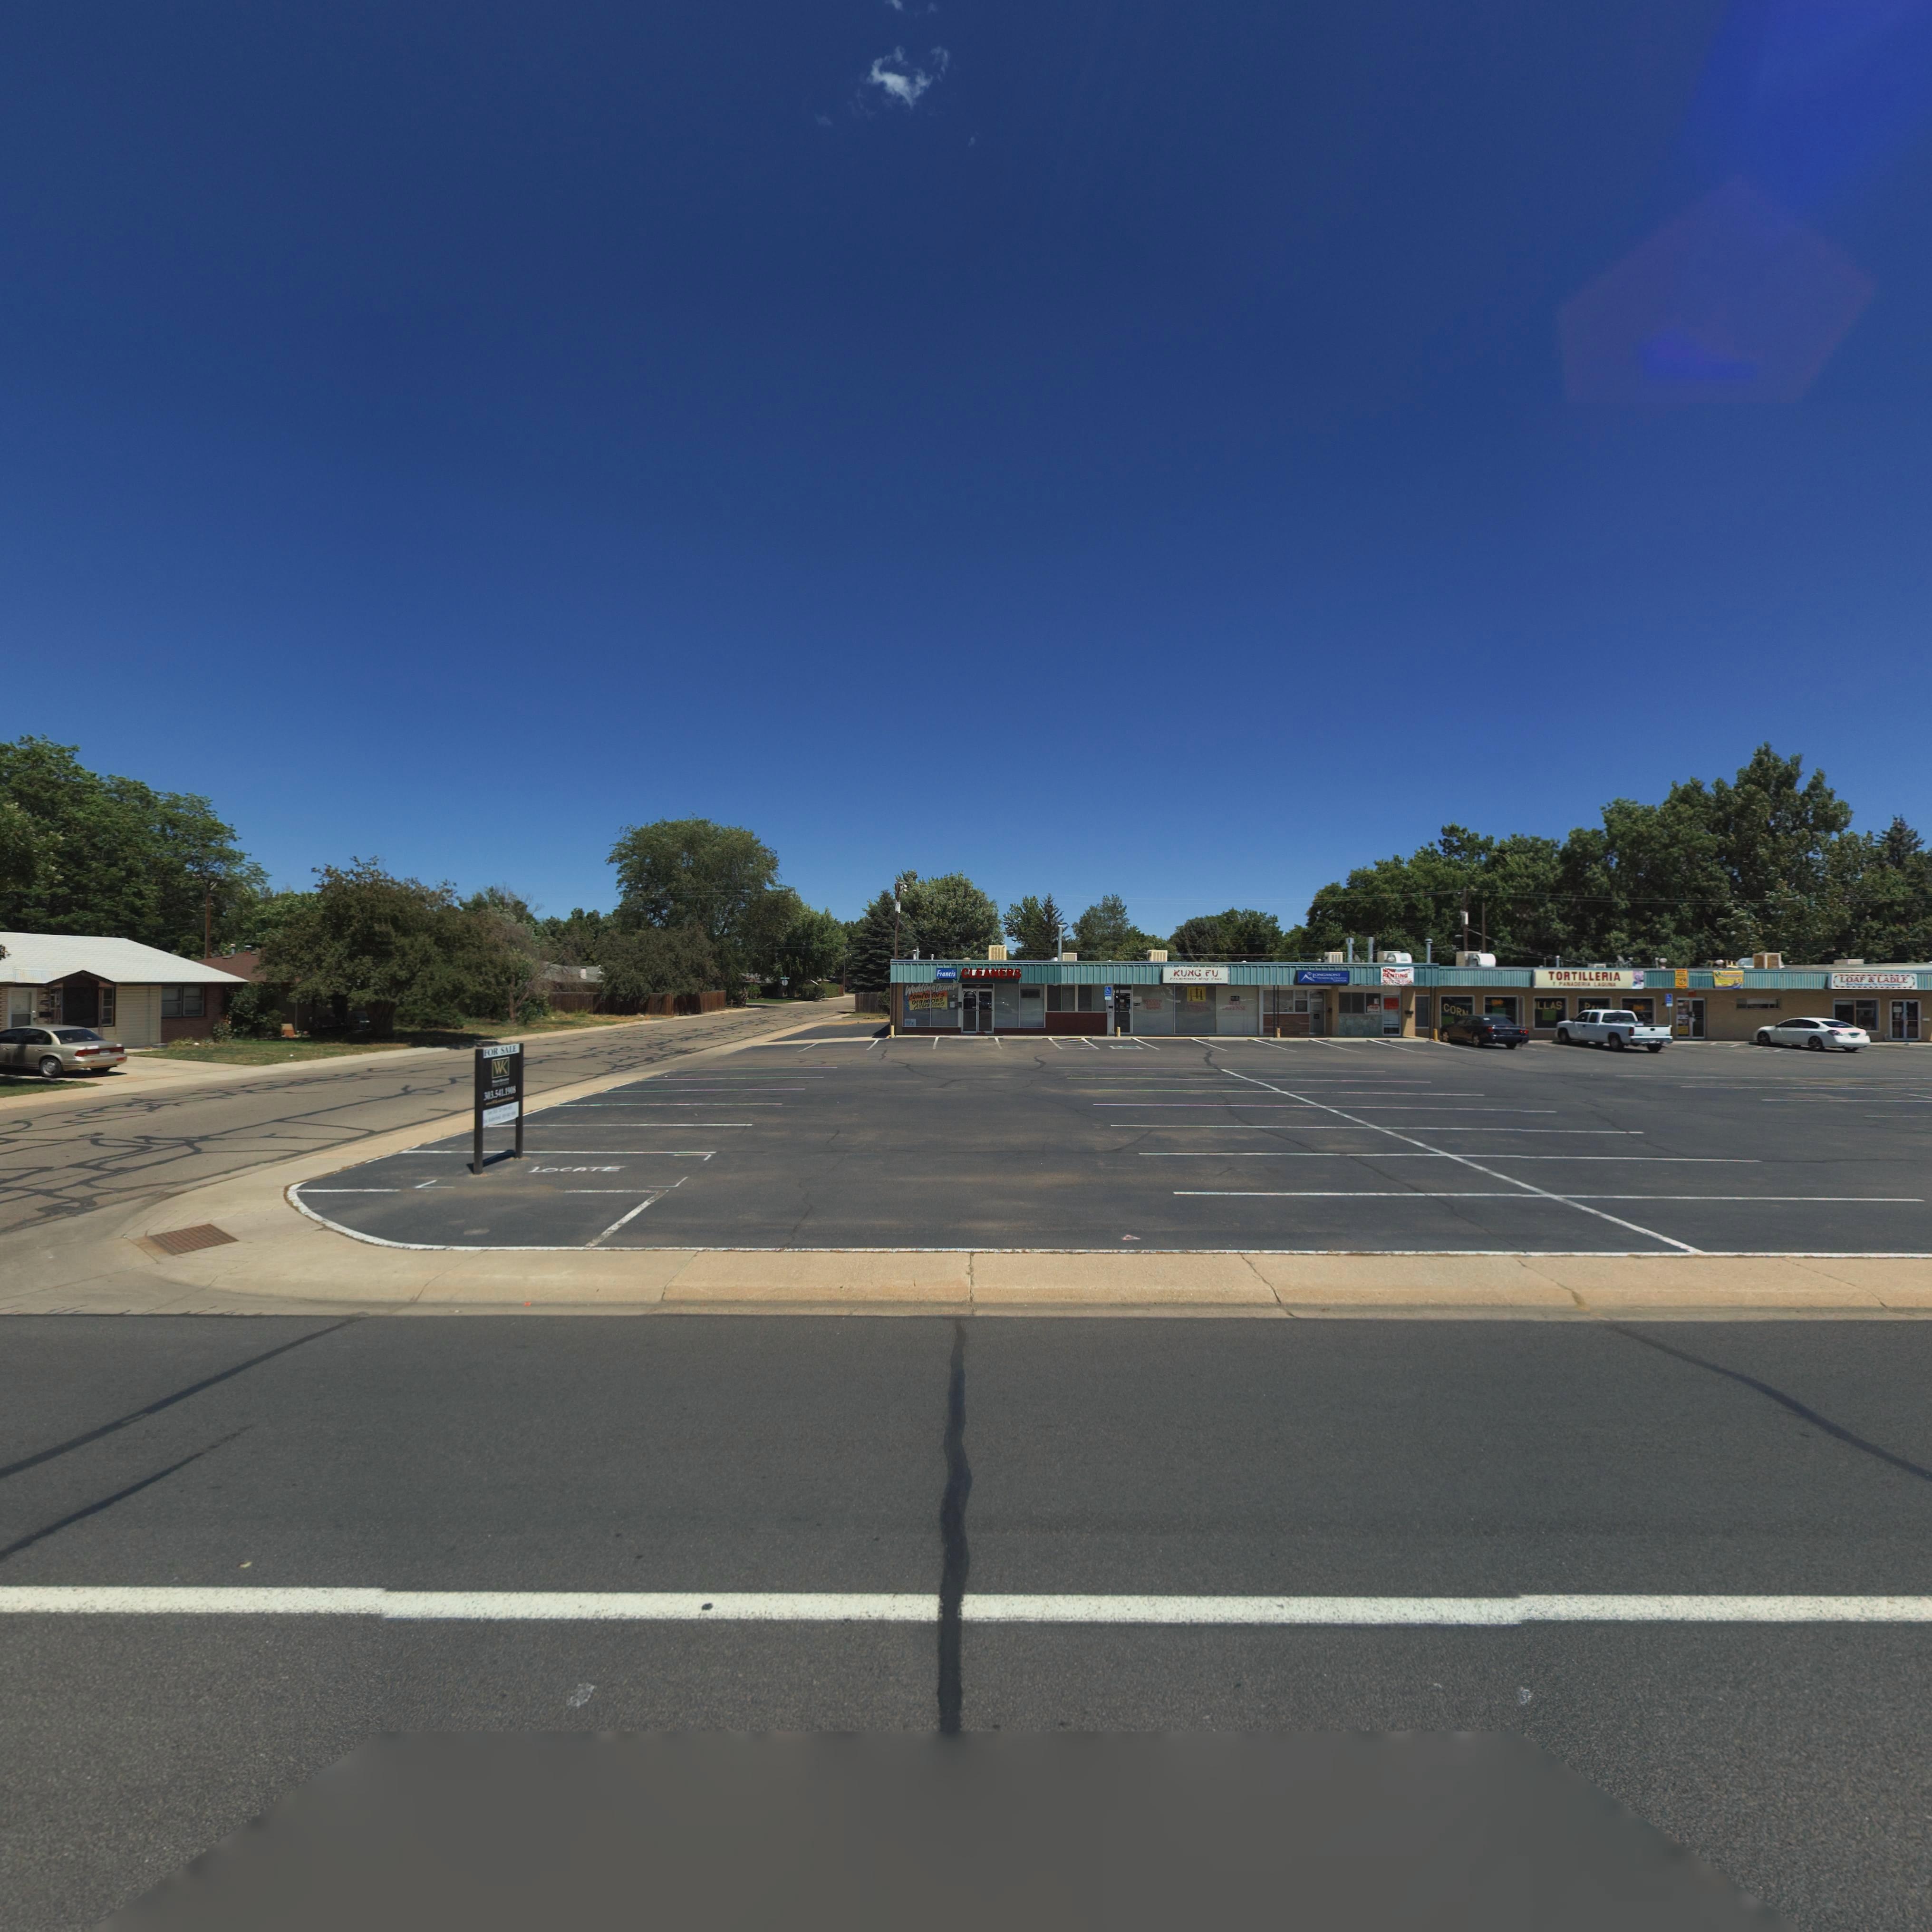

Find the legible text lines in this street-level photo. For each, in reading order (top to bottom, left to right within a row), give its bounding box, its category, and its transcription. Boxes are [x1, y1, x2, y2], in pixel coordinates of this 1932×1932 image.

[937, 969, 956, 976] BusinessName: Francis
[962, 967, 1021, 979] BusinessName: CLEANERS
[1169, 977, 1221, 980] BusinessName: T*********l W*ng Ch**
[1312, 973, 1341, 978] BusinessName: LON*MO*T
[1548, 971, 1621, 981] BusinessName: TORTILLERIA
[1840, 976, 1907, 983] BusinessName: LOAF & LADLE
[1552, 981, 1616, 987] BusinessName: * PANADERIA LA****